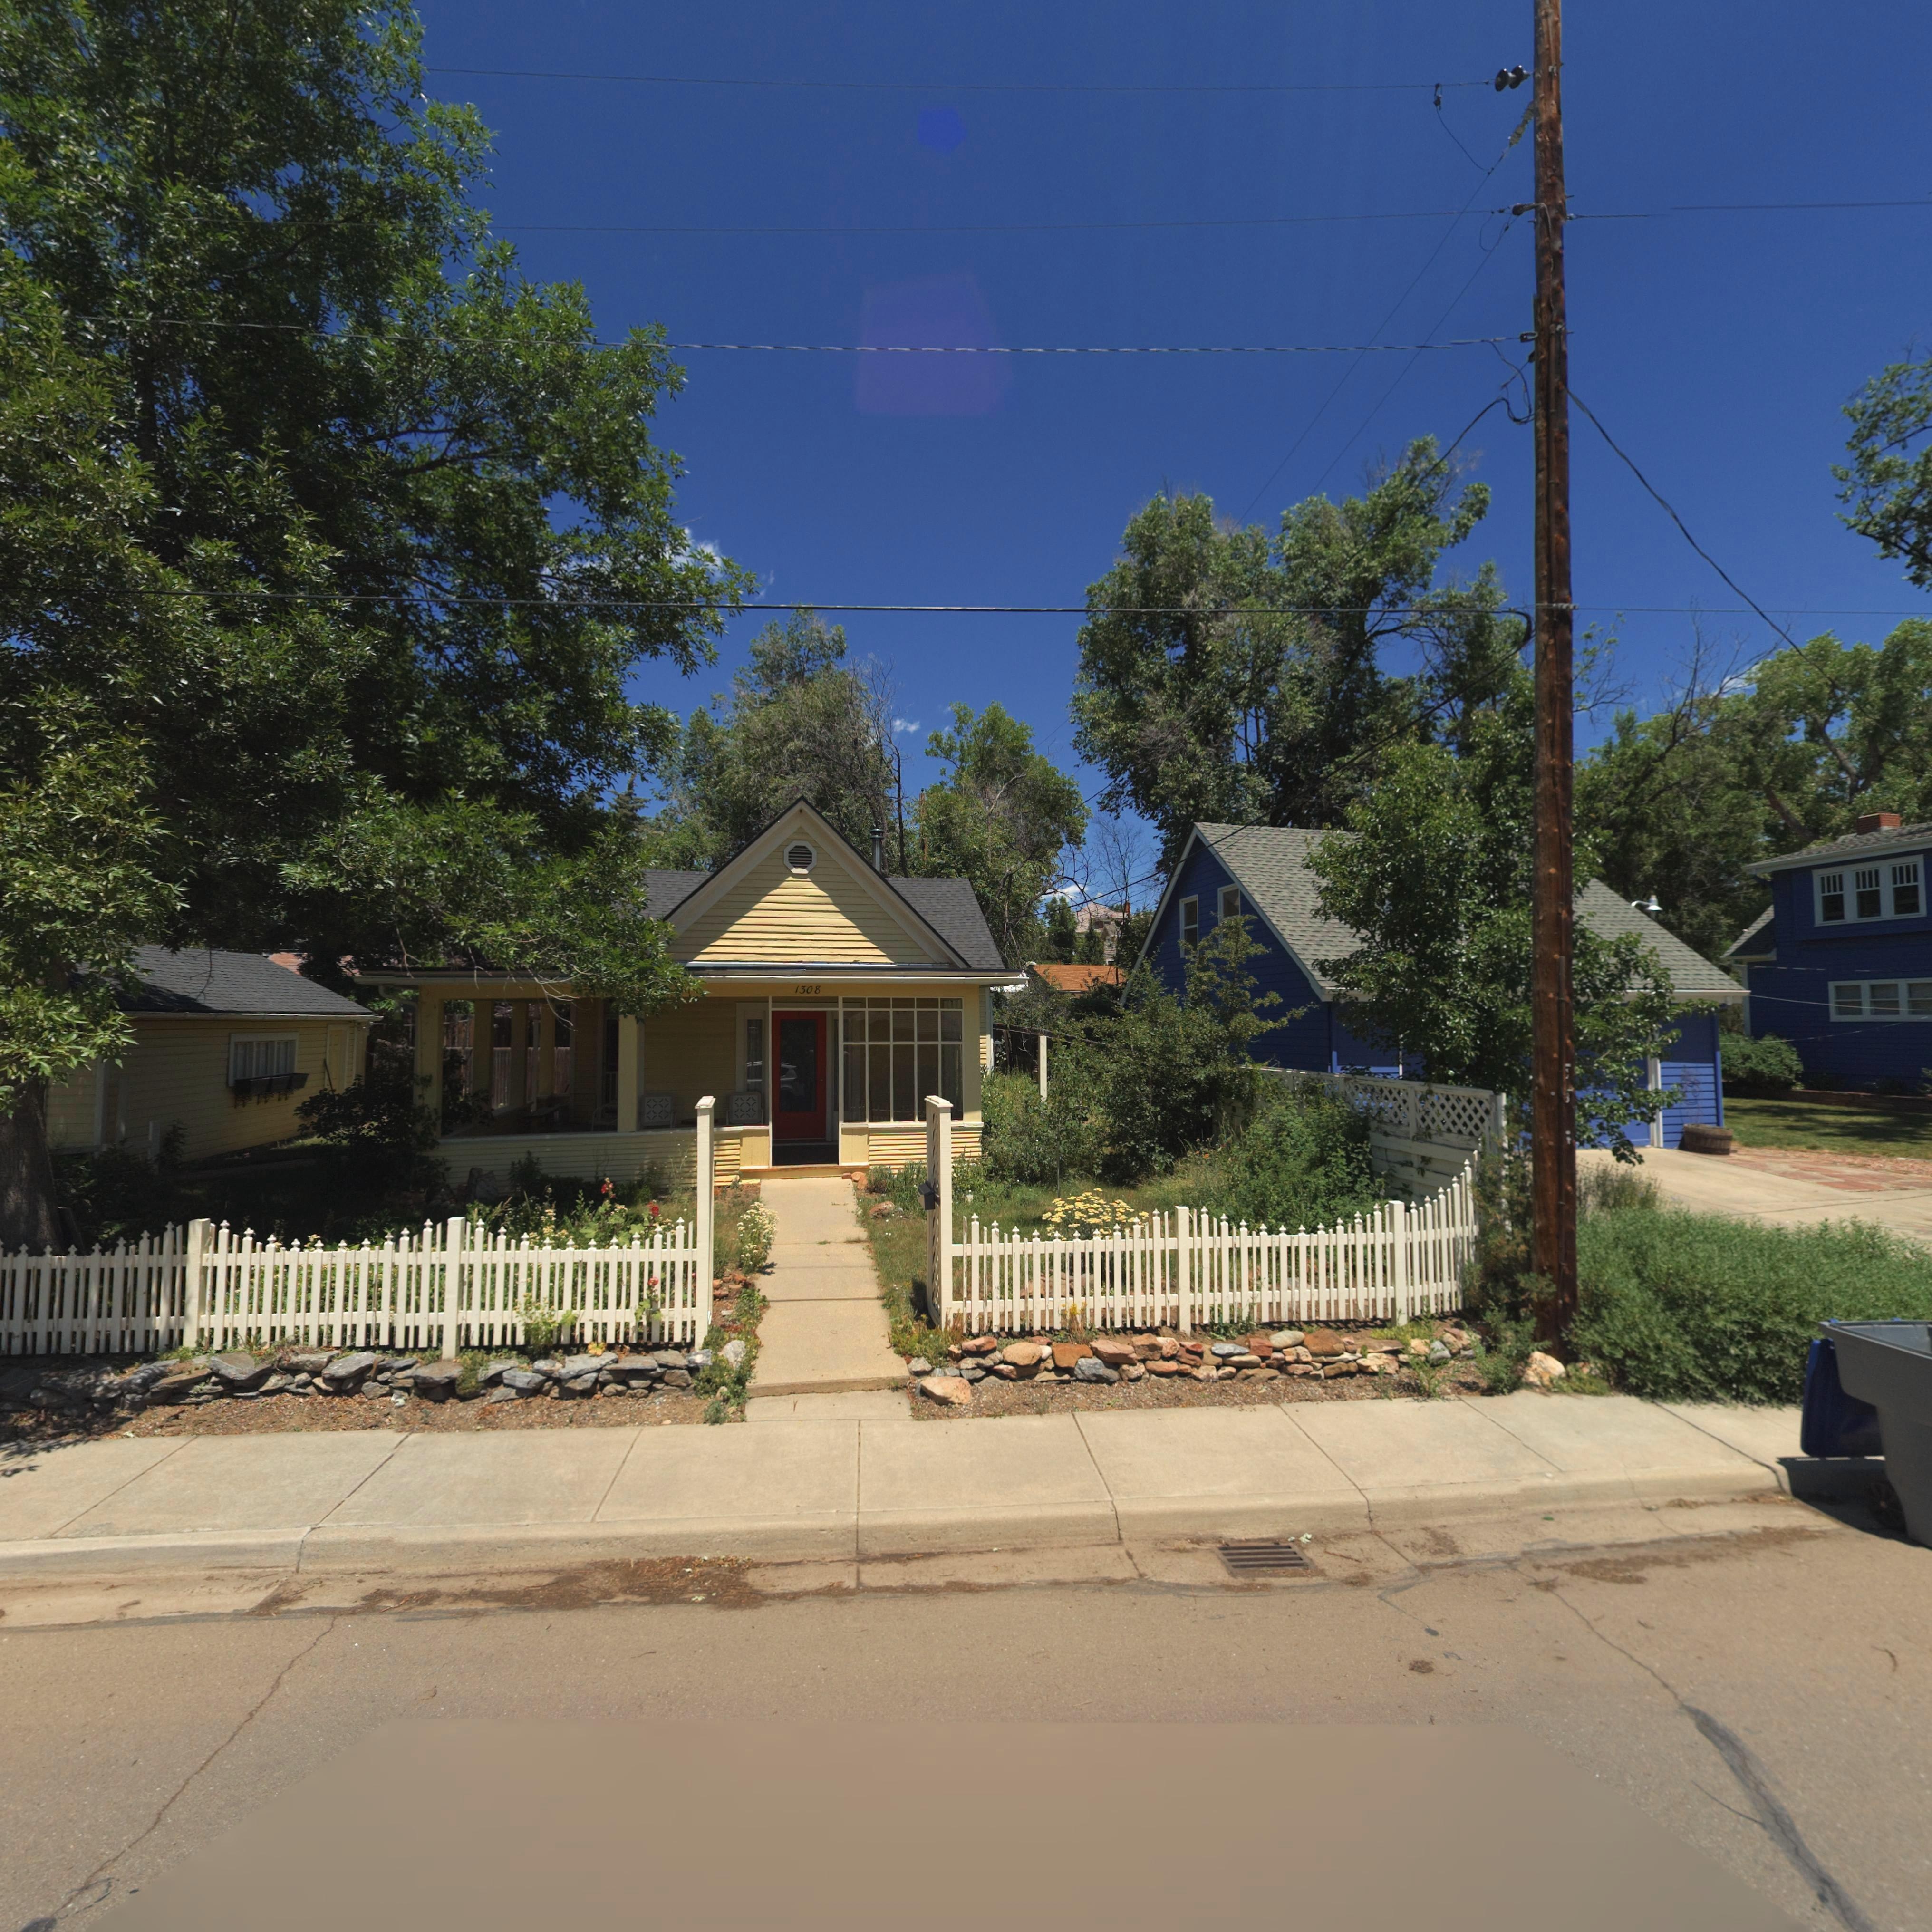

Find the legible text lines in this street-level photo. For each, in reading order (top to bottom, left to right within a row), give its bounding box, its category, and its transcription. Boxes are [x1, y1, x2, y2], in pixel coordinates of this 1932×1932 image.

[794, 985, 821, 994] StreetNumber: 1308